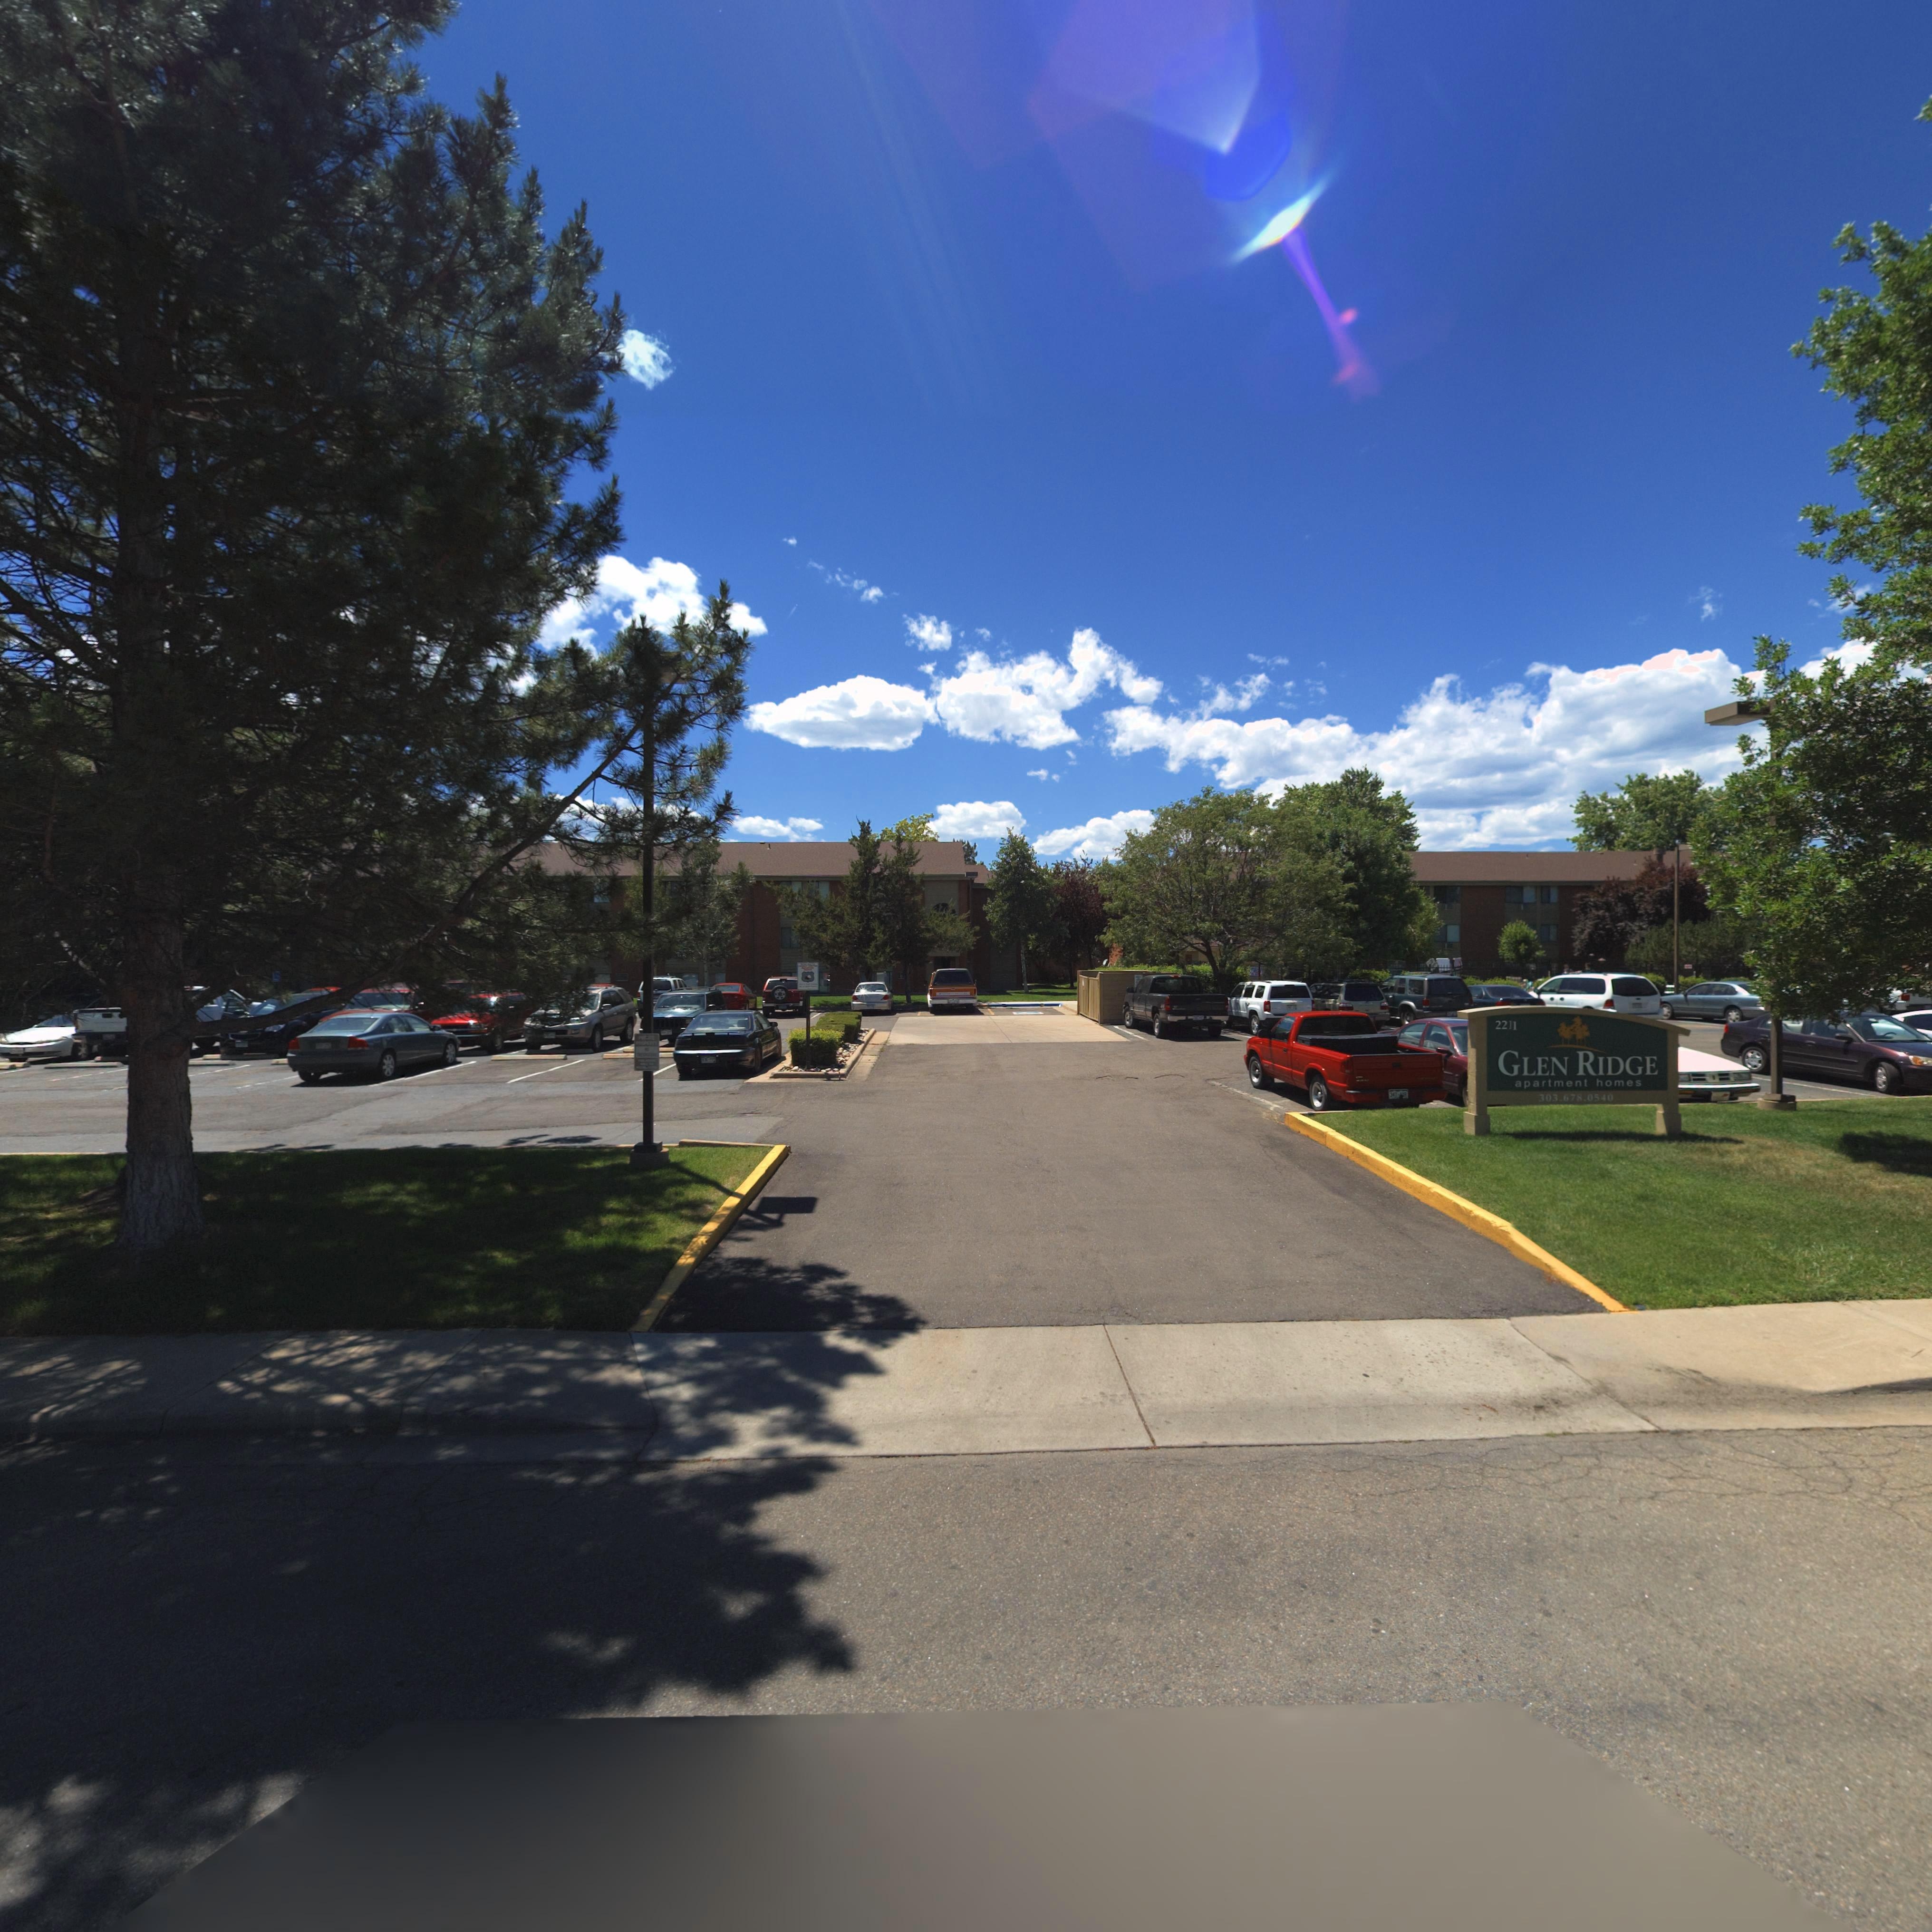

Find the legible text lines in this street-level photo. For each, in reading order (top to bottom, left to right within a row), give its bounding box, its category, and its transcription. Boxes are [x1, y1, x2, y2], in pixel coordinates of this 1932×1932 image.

[1494, 1019, 1517, 1031] StreetNumber: 2211
[1496, 1049, 1660, 1077] BusinessName: GLEN RIDGE